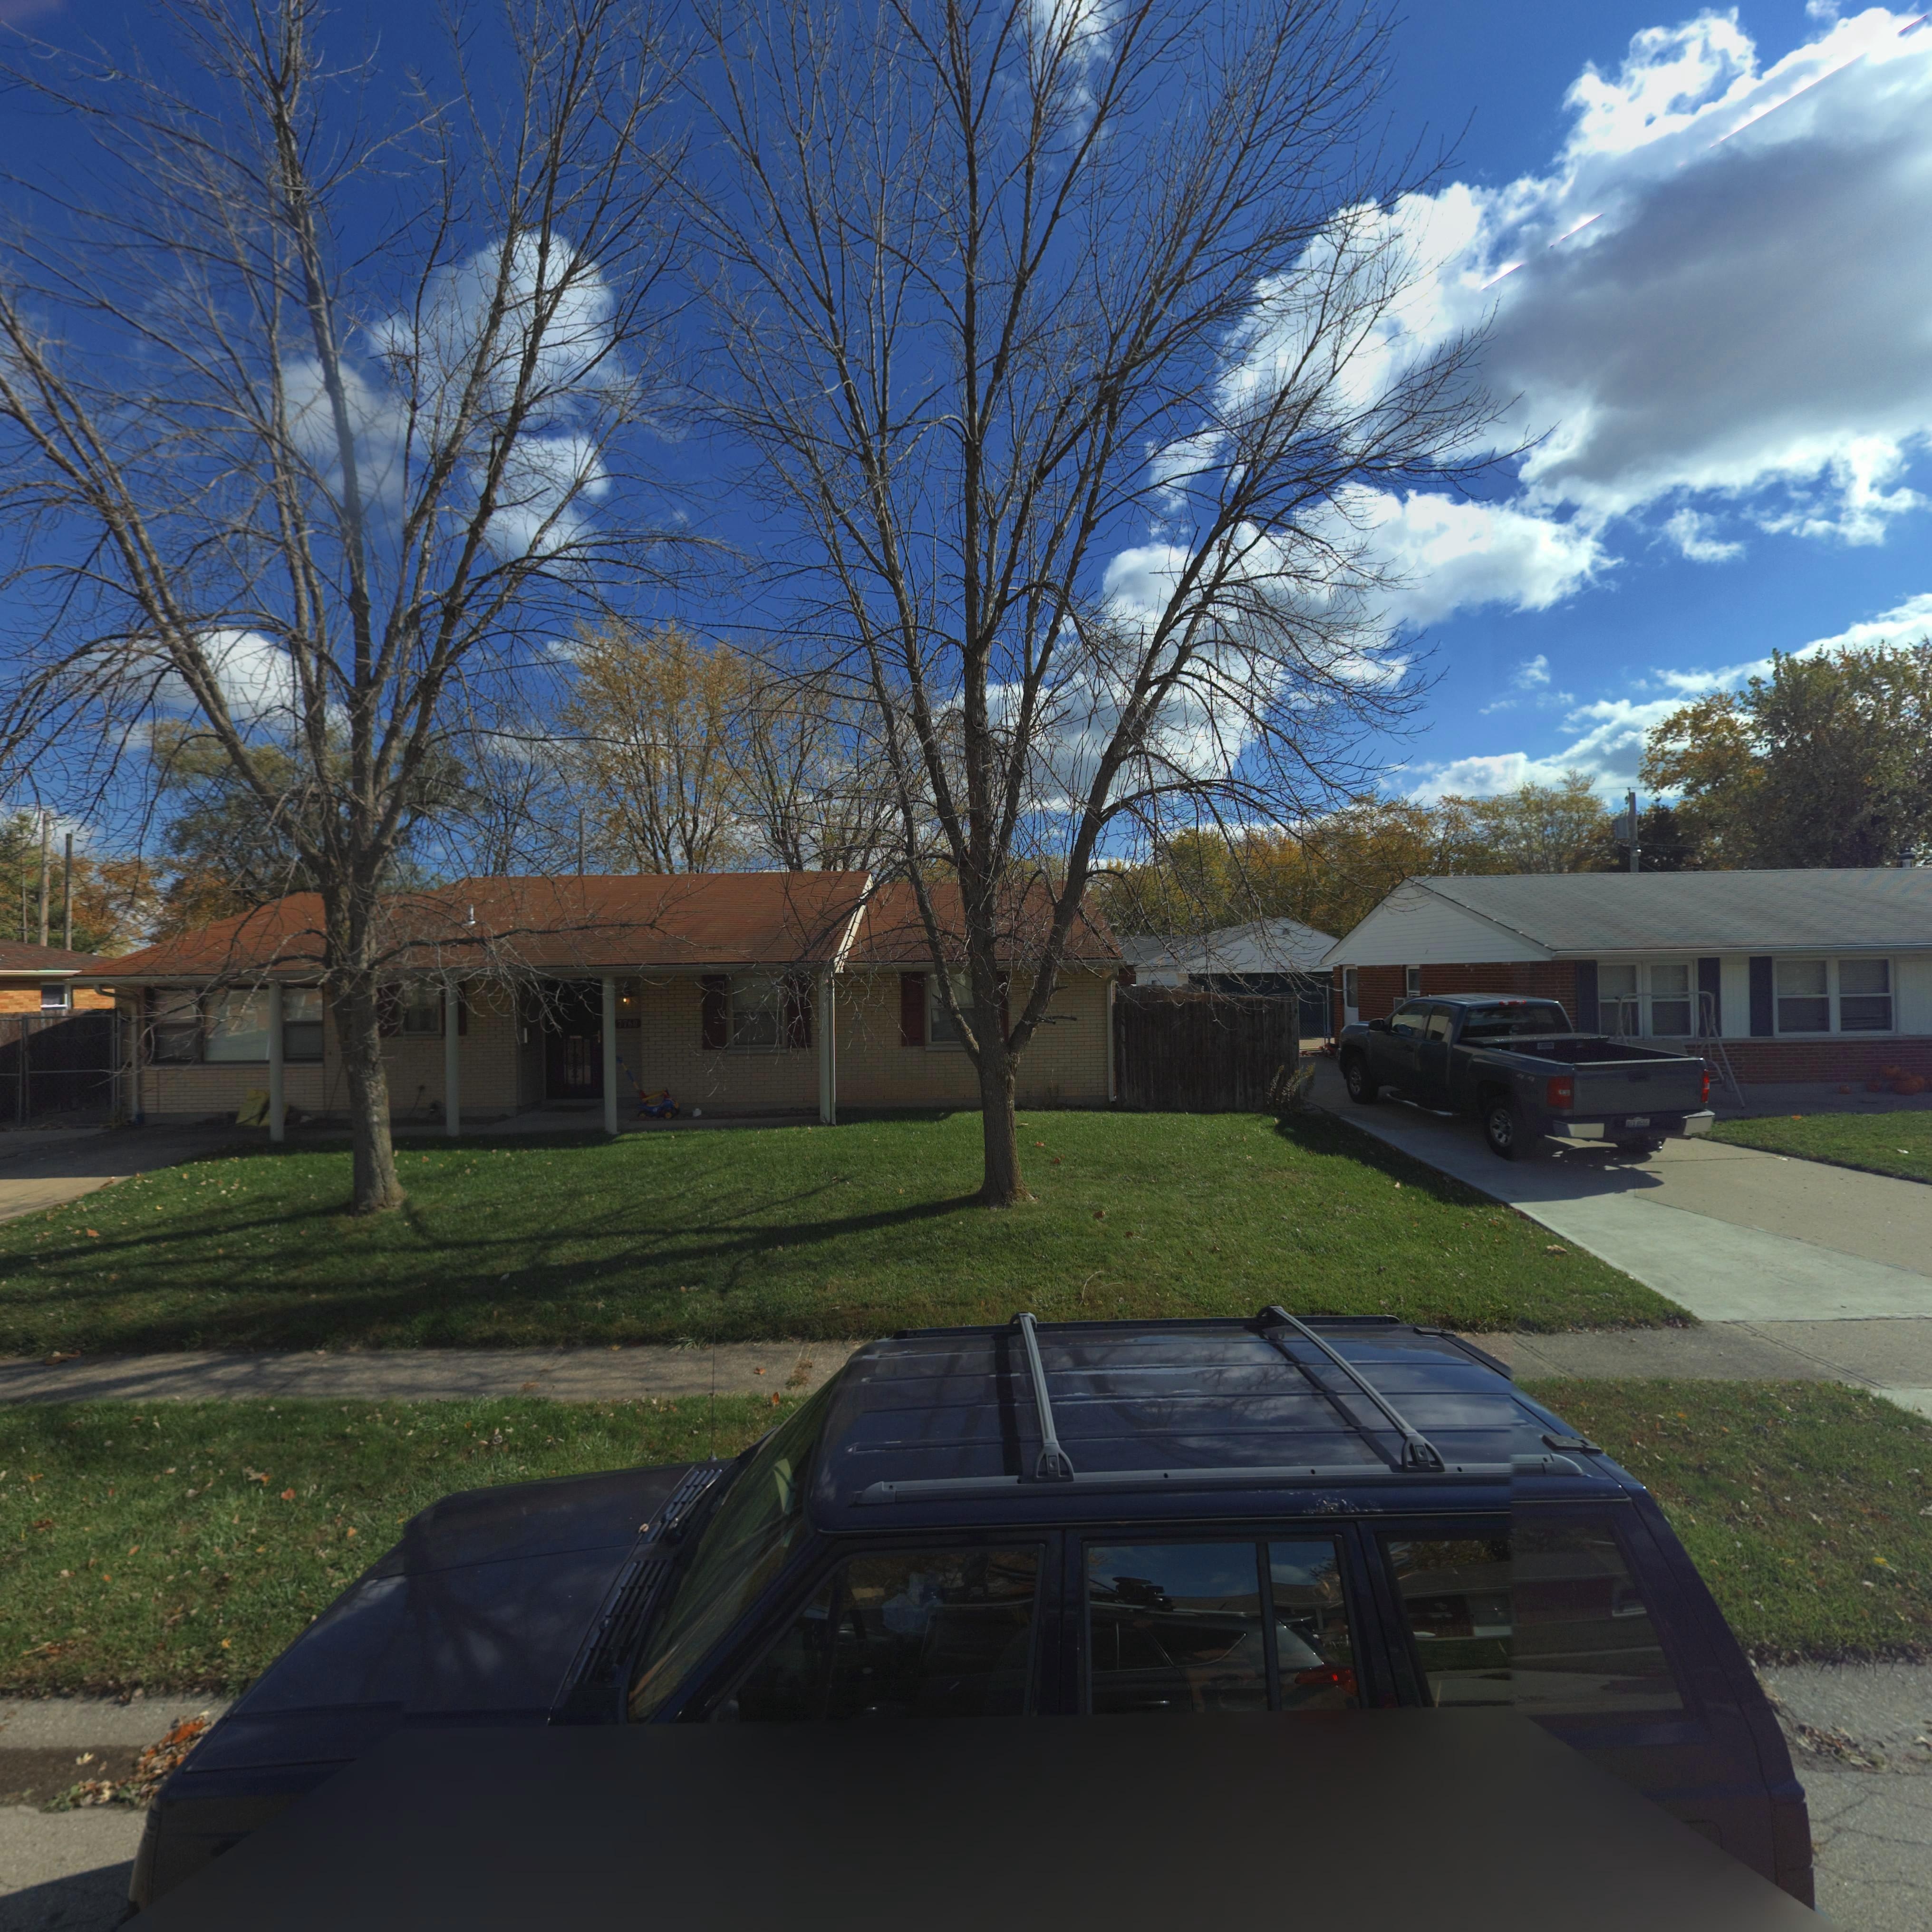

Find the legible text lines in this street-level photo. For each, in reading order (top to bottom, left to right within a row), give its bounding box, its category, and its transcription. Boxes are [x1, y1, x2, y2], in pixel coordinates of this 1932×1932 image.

[617, 1019, 638, 1028] StreetNumber: 7760